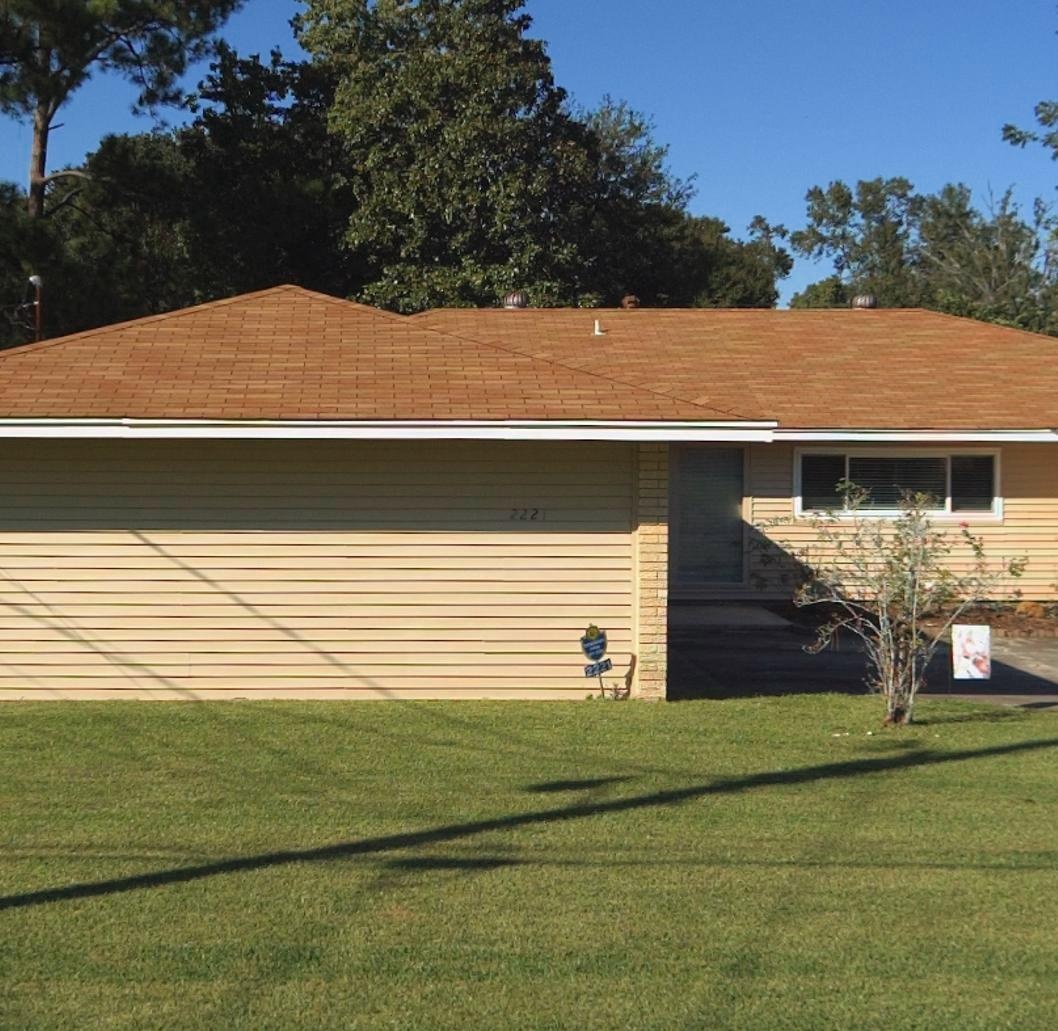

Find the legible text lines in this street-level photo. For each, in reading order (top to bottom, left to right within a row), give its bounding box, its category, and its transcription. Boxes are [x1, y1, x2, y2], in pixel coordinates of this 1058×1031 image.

[508, 507, 548, 522] StreetNumber: 2221
[584, 657, 613, 678] StreetNumber: 2221